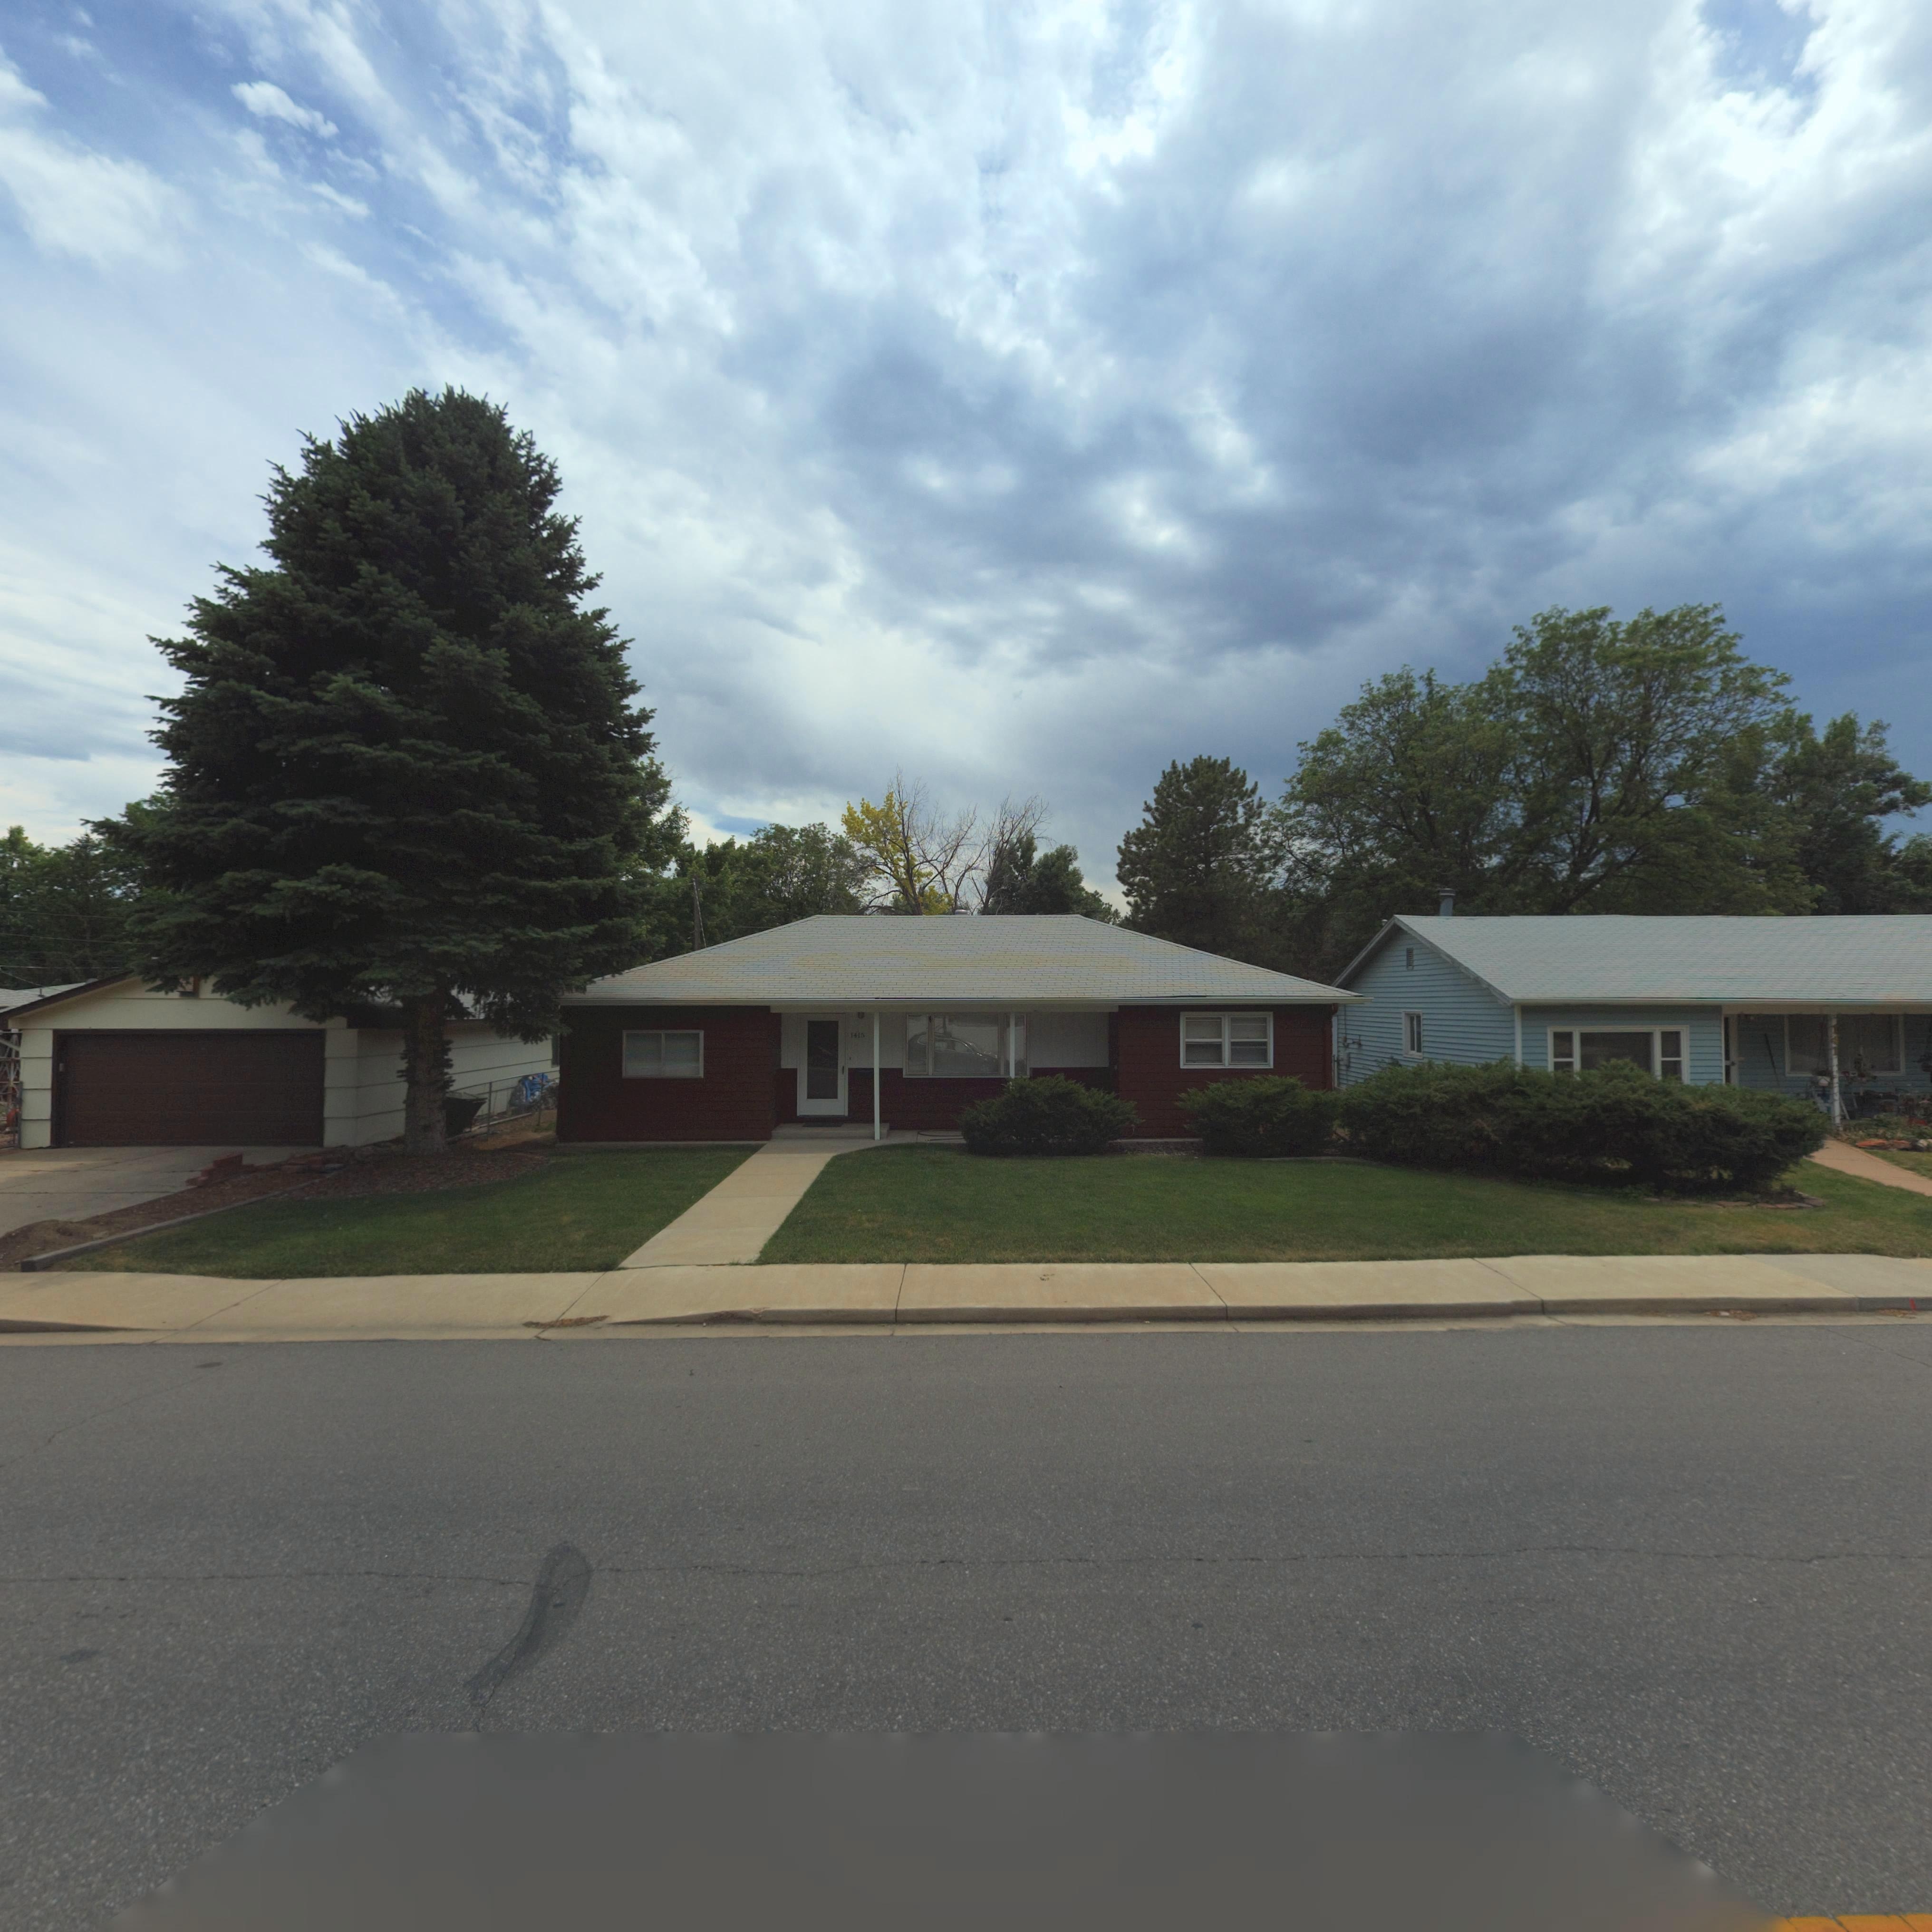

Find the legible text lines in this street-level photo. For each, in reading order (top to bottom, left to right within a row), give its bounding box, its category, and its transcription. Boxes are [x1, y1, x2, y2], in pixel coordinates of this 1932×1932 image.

[850, 1032, 865, 1038] StreetNumber: 1415
[1830, 1023, 1838, 1056] StreetName: 141